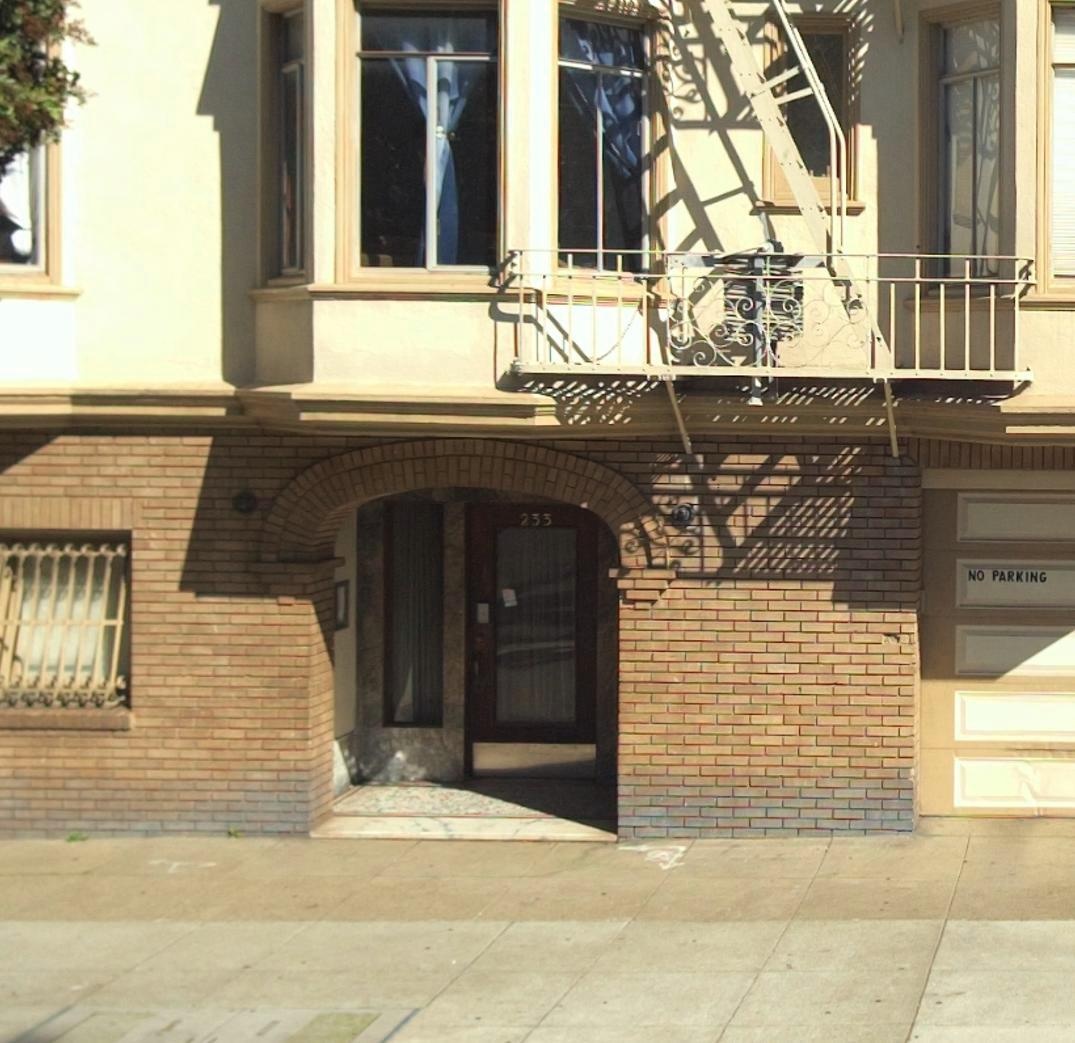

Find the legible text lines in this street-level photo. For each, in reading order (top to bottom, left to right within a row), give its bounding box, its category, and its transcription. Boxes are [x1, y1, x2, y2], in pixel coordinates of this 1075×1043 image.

[518, 511, 553, 527] StreetNumber: 233
[967, 568, 1048, 584] None: NO PARKING